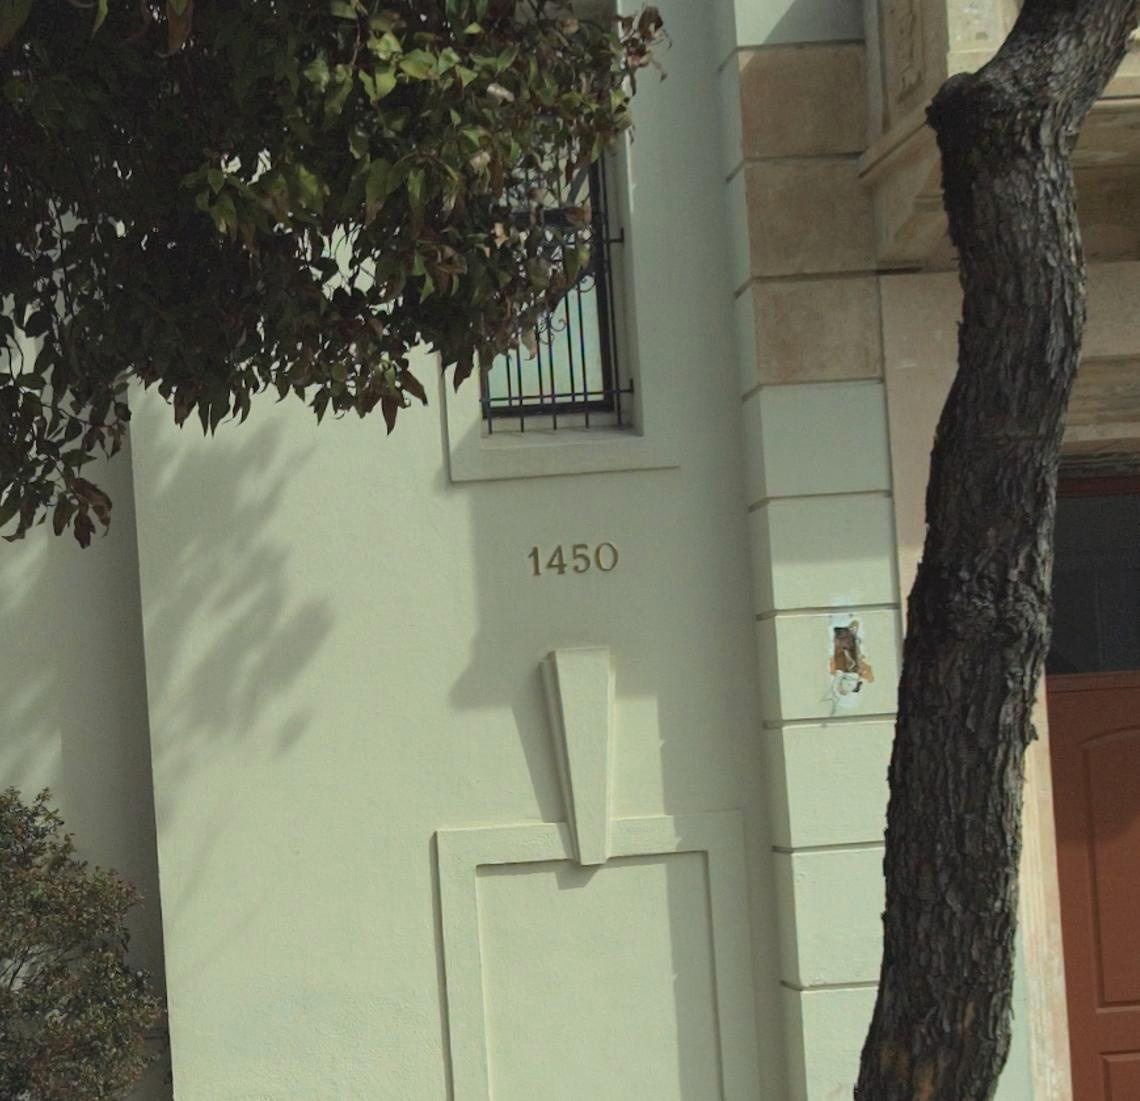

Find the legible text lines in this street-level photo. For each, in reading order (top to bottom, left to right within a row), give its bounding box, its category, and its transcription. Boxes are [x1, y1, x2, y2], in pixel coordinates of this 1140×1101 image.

[522, 535, 625, 584] StreetNumber: 1450